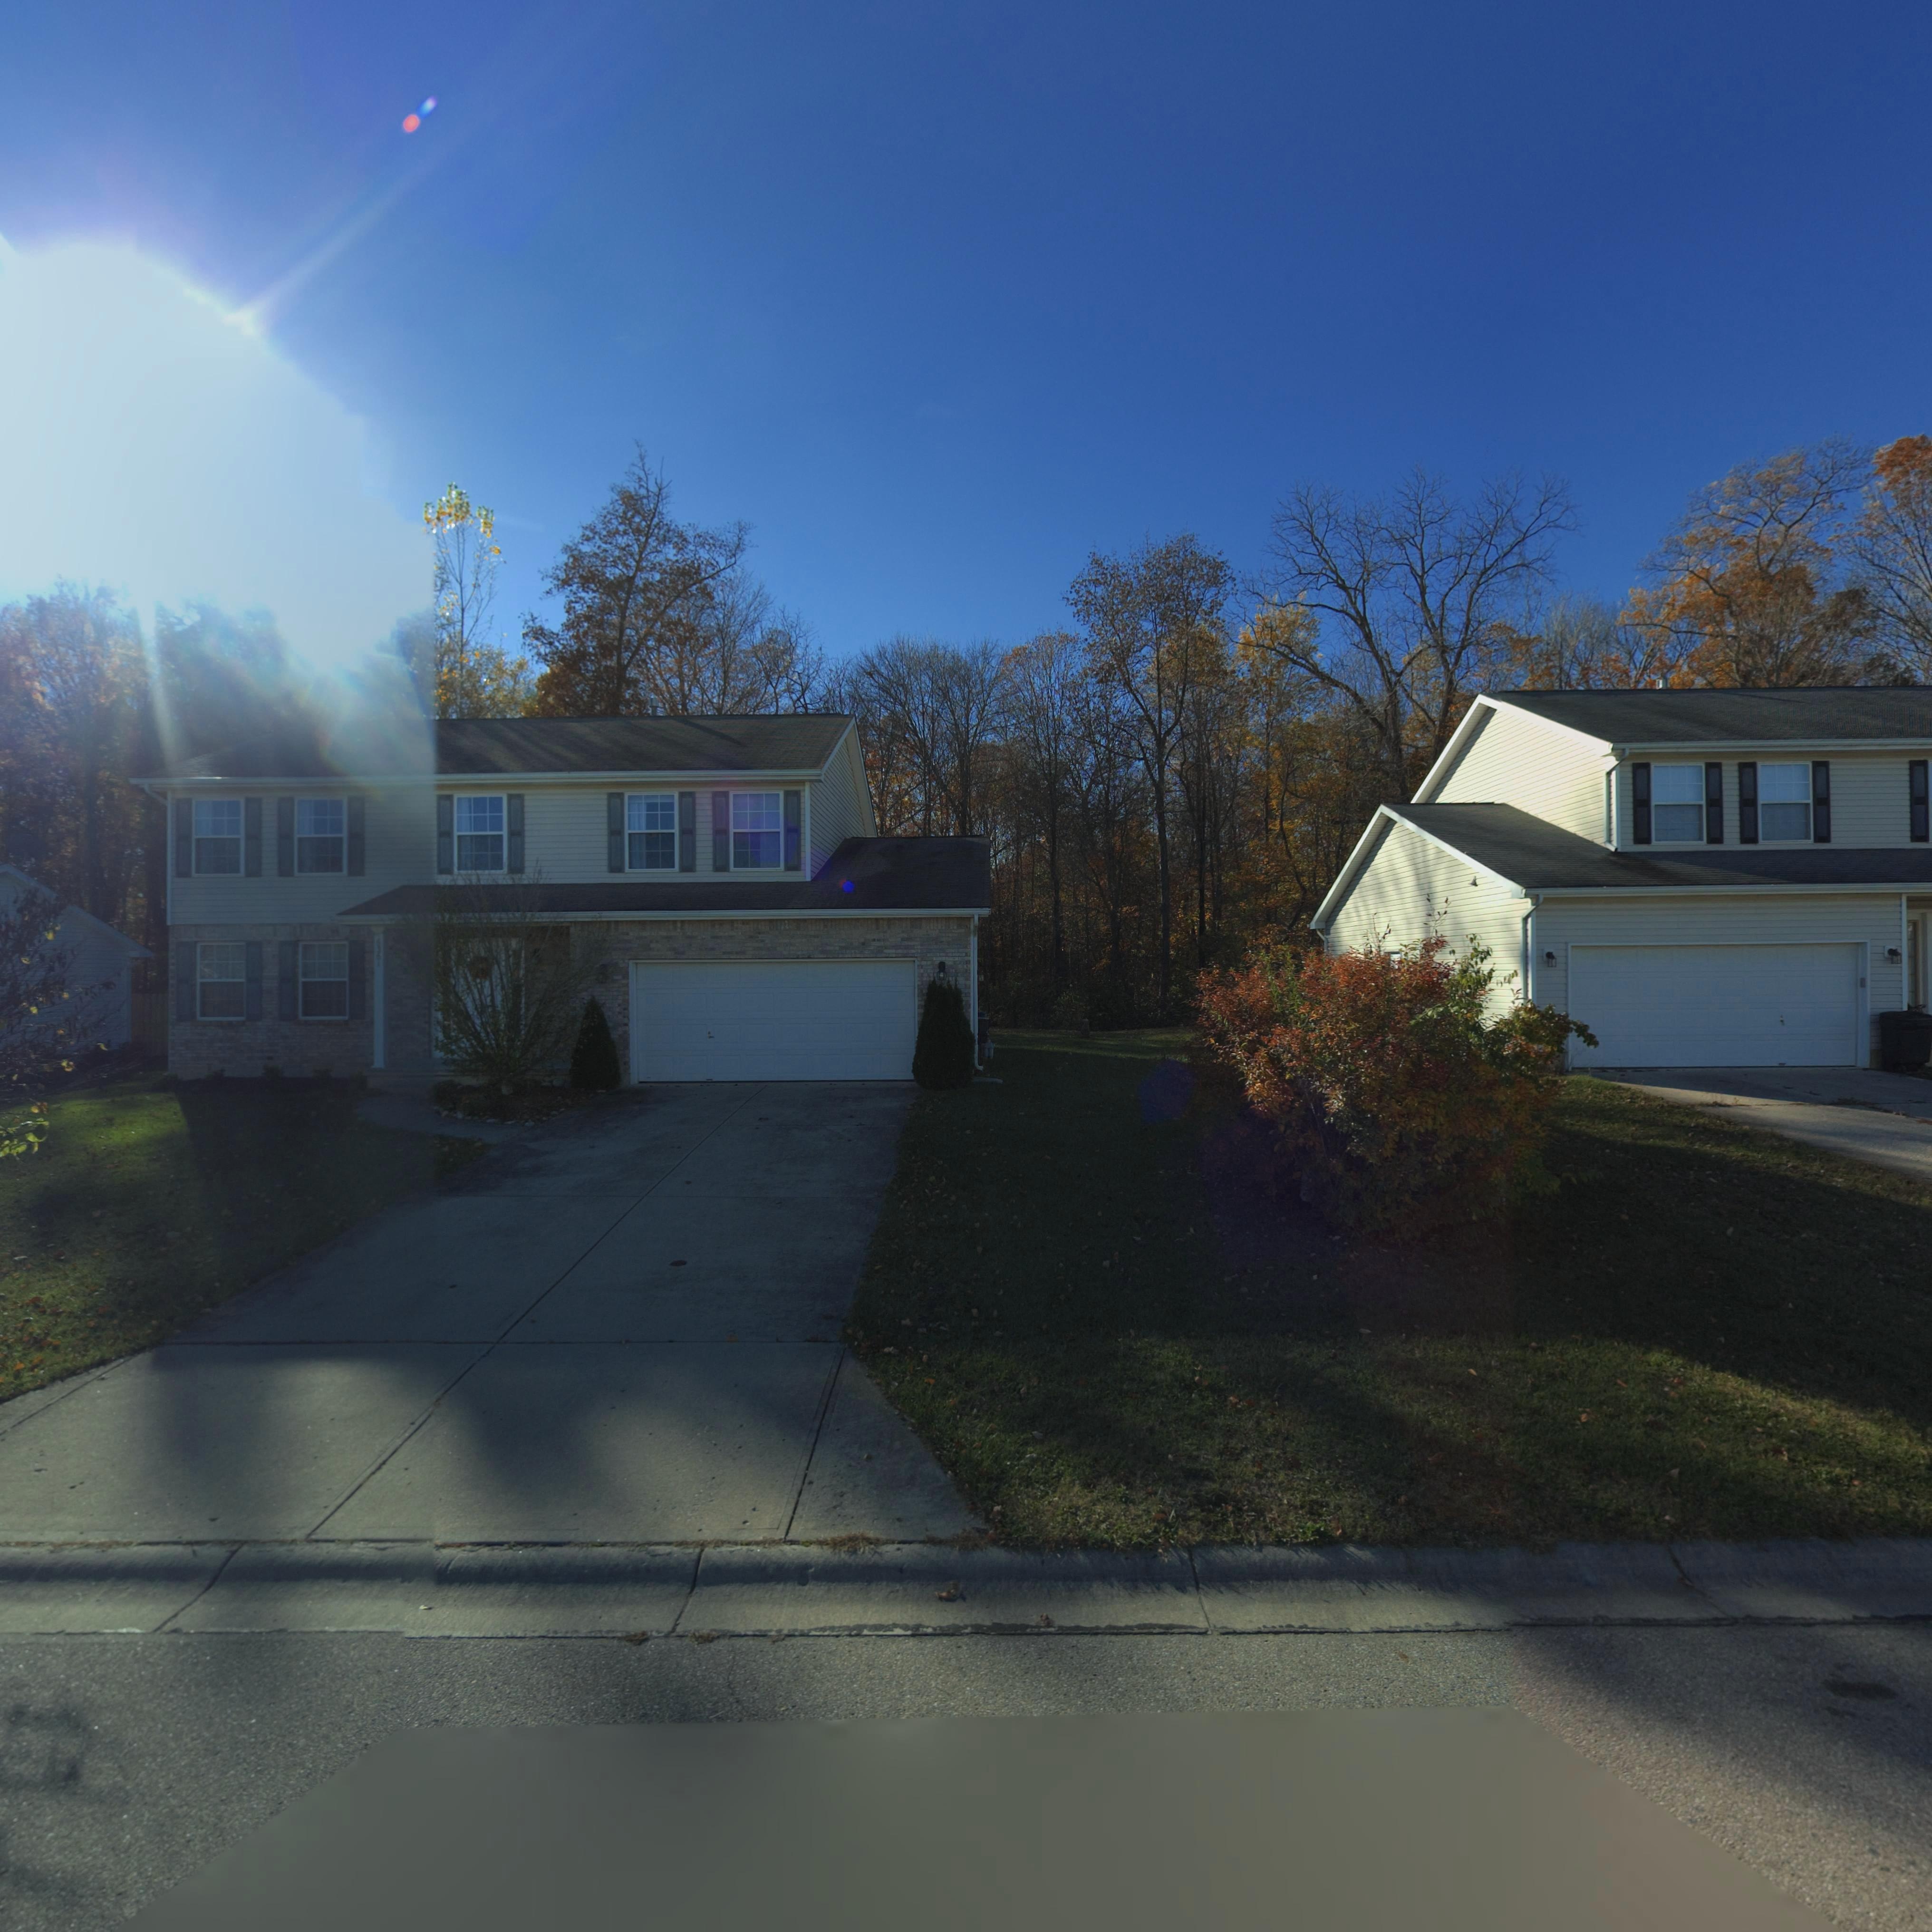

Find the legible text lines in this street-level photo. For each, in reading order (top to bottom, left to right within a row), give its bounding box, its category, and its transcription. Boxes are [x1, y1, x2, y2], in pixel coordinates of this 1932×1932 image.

[375, 936, 382, 967] StreetNumber: 6361